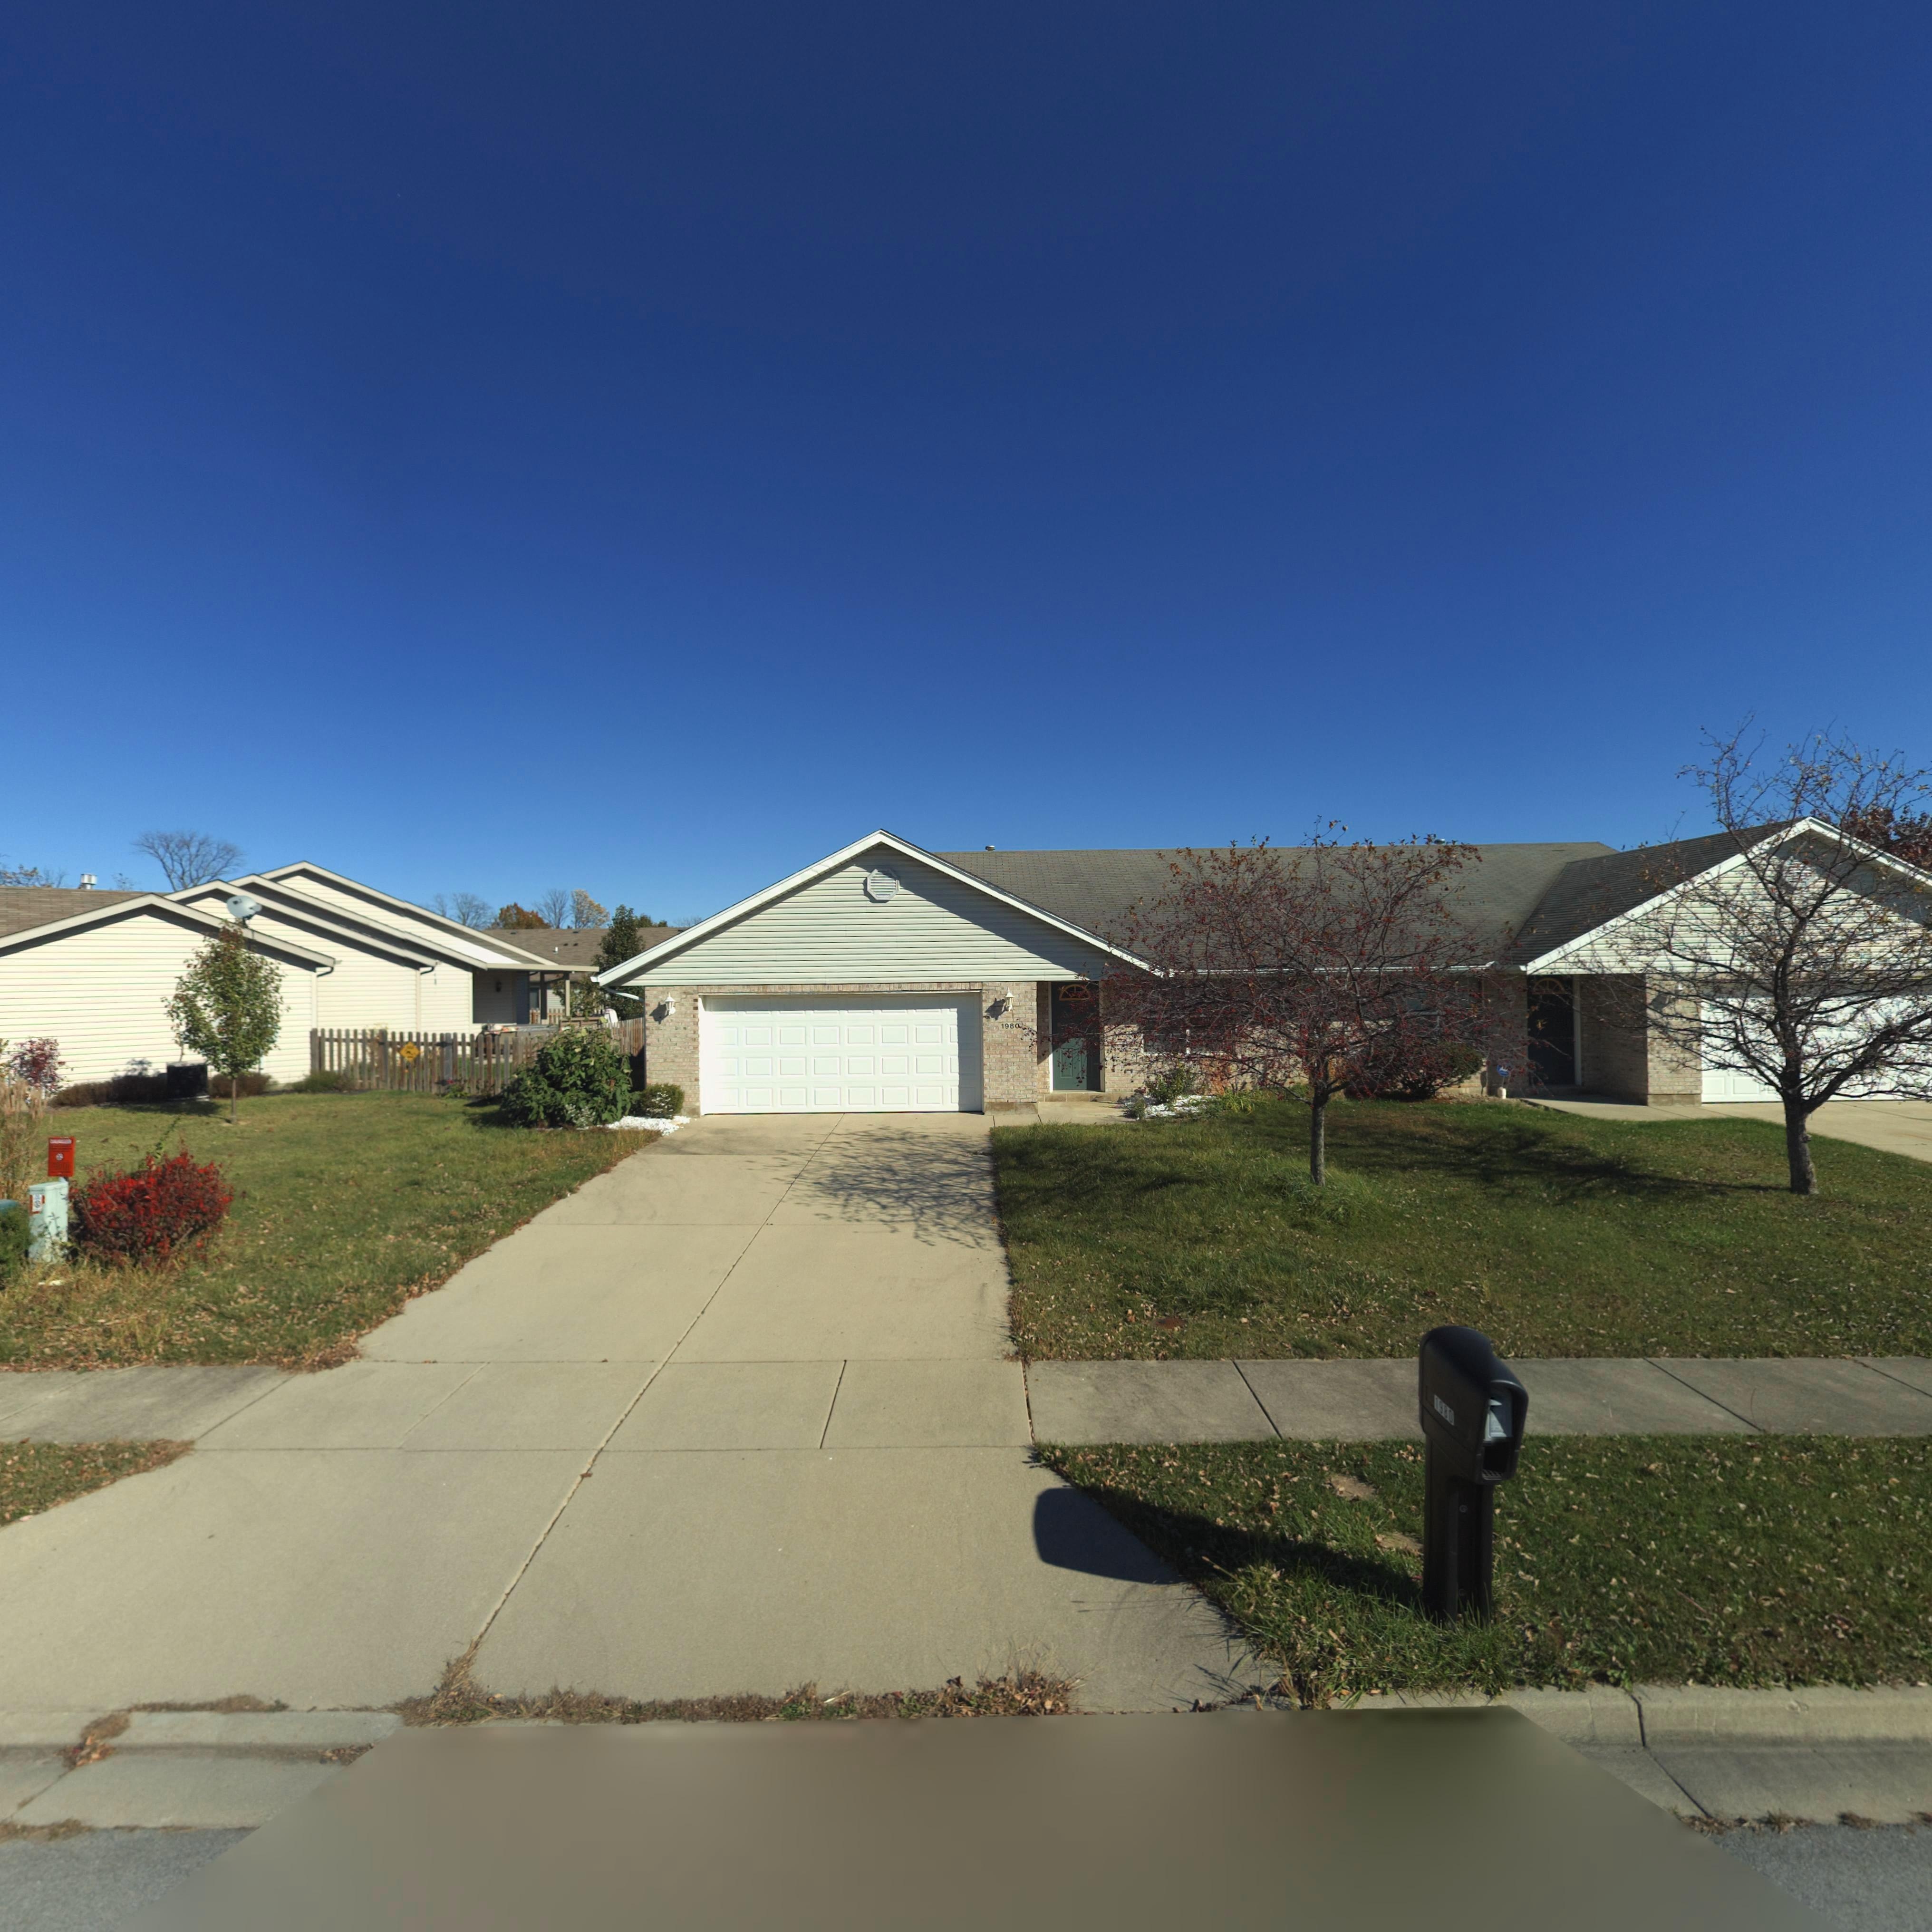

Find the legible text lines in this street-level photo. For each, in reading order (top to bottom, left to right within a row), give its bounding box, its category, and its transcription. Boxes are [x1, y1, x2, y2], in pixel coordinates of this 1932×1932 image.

[1000, 1022, 1020, 1029] StreetNumber: 1980
[1434, 1395, 1454, 1425] StreetNumber: 1980